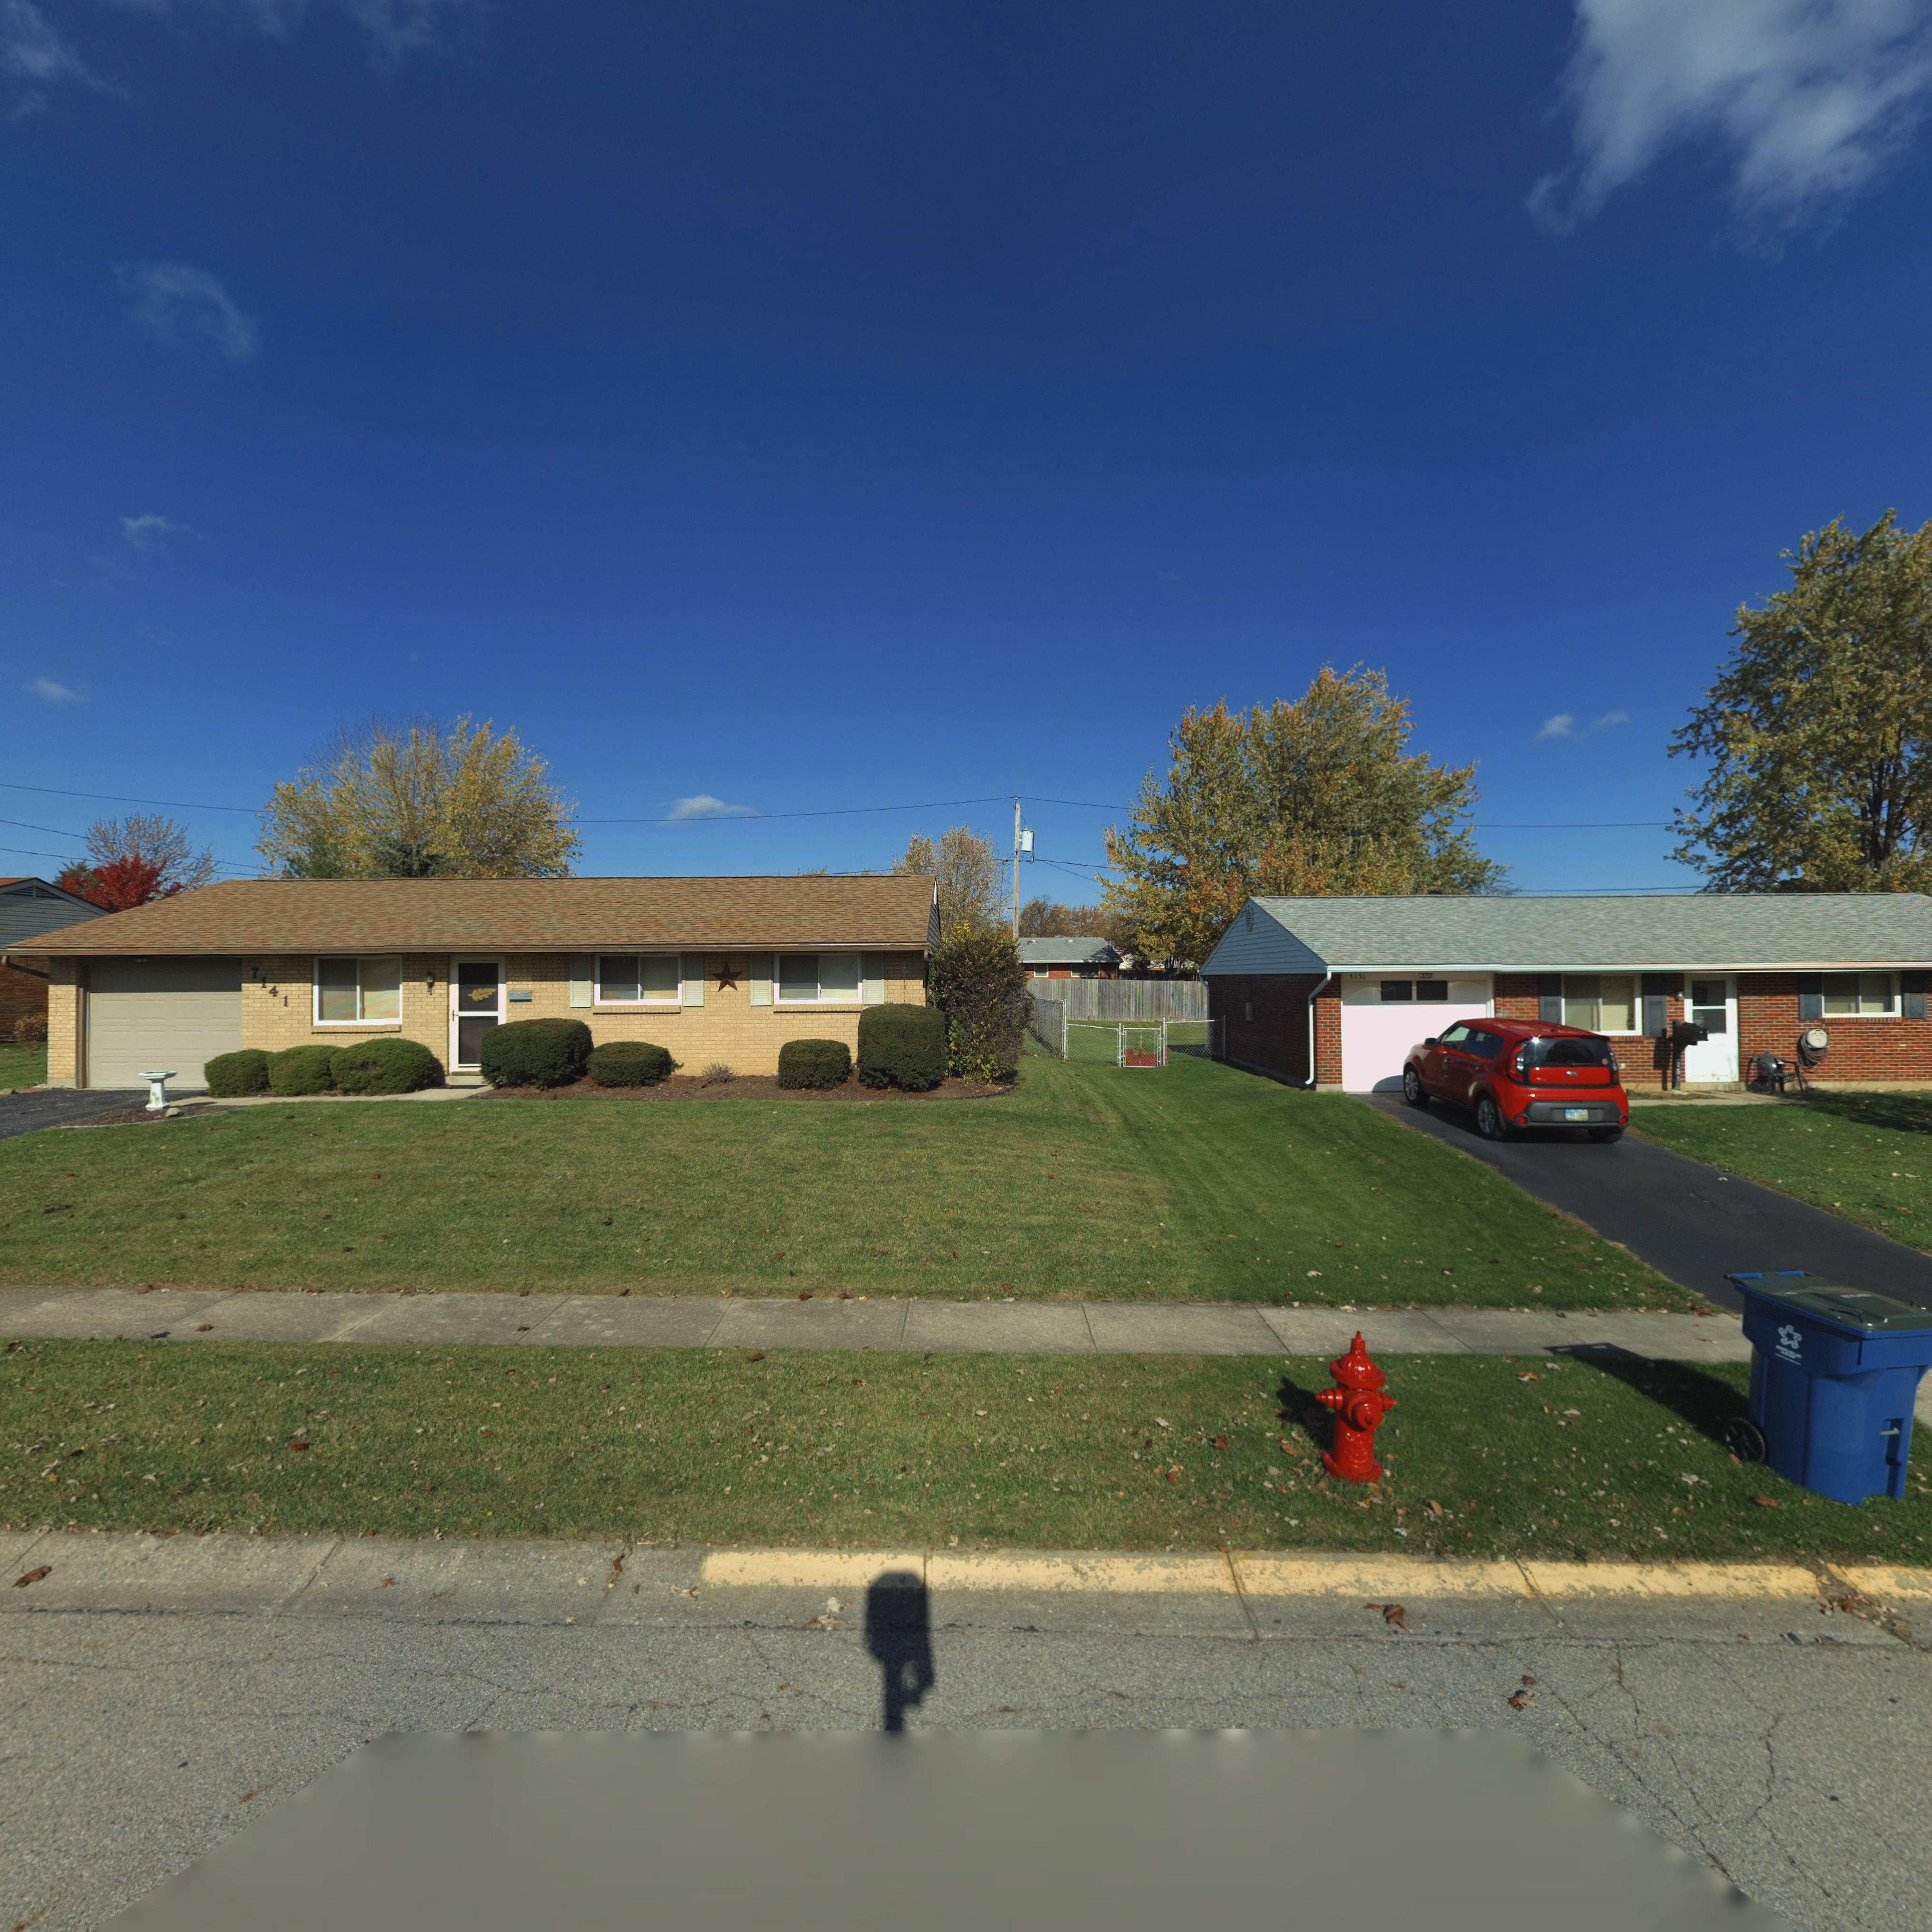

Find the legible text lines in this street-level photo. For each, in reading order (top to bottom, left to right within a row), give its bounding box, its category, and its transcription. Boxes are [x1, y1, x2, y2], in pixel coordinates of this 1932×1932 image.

[250, 966, 290, 1008] StreetNumber: 7141
[1348, 972, 1367, 981] StreetNumber: 7151